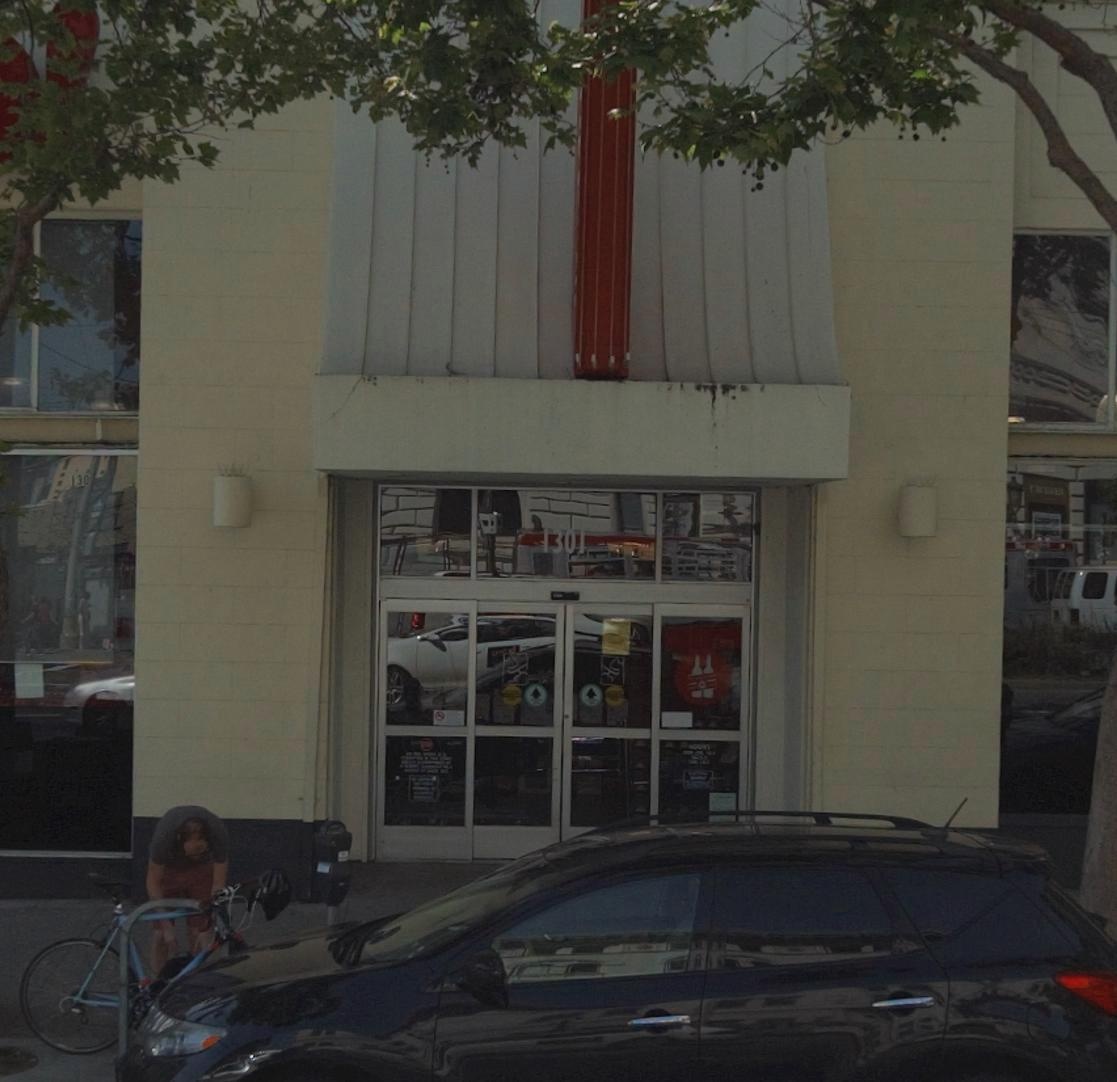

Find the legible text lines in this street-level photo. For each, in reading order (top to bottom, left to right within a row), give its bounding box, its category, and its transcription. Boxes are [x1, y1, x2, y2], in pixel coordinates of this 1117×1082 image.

[539, 525, 588, 557] StreetNumber: 1301